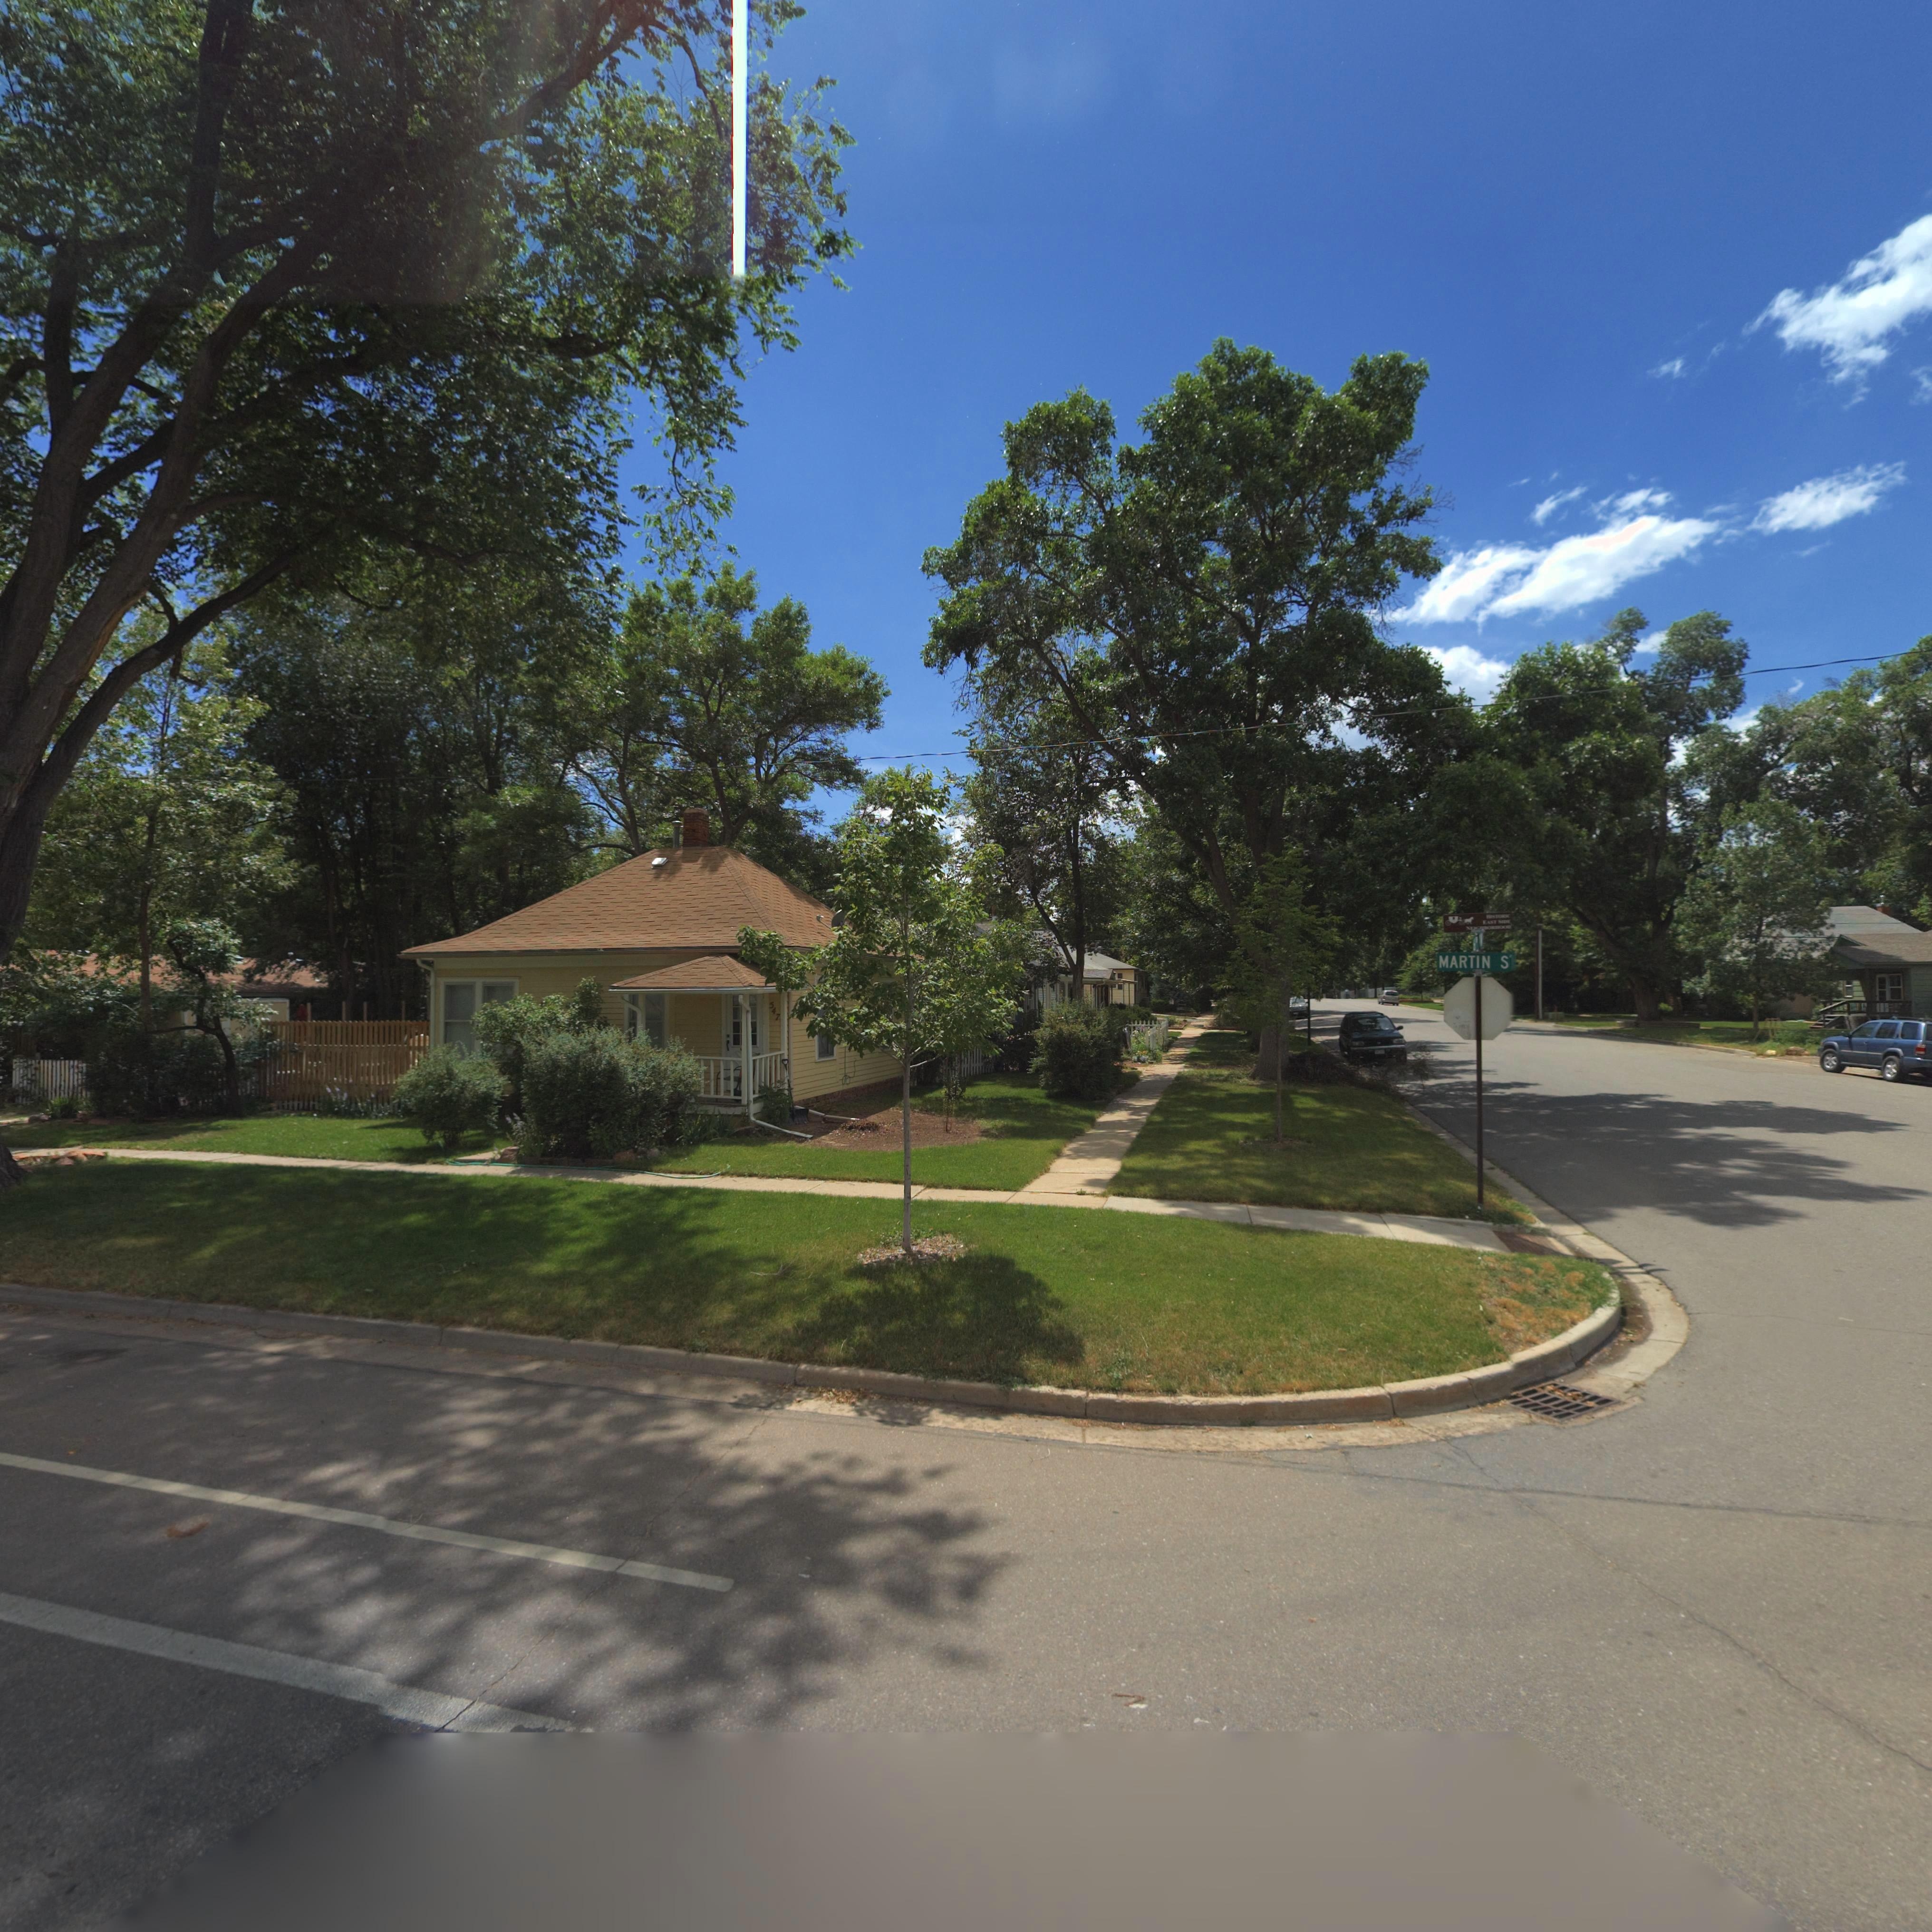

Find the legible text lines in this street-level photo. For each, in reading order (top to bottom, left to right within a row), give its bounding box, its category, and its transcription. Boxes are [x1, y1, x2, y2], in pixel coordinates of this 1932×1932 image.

[1438, 954, 1512, 969] StreetName: MARTIN S*
[769, 1001, 781, 1021] StreetNumber: 547